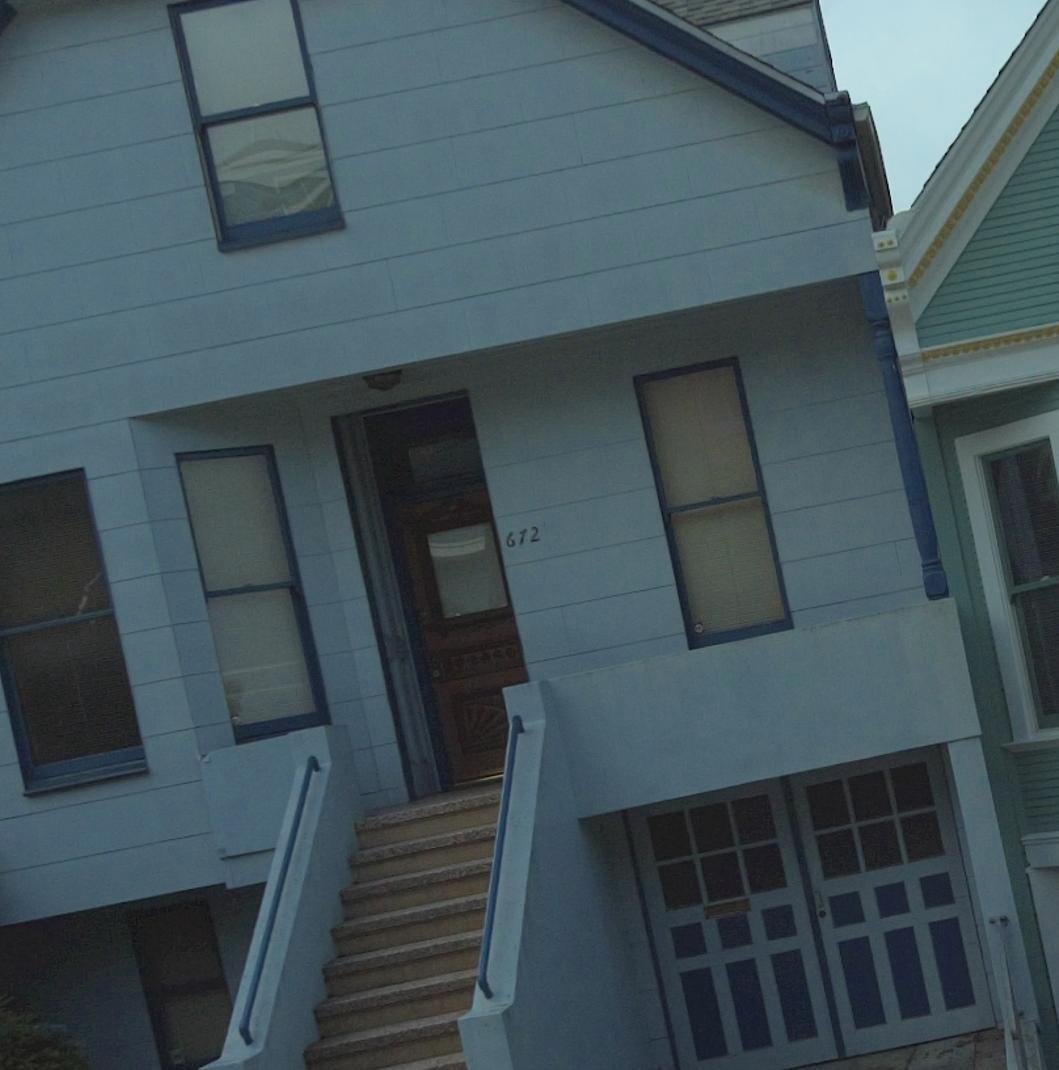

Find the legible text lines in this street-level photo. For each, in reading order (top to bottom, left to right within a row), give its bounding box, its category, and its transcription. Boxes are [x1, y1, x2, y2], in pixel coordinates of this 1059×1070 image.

[505, 524, 541, 549] StreetNumber: 672